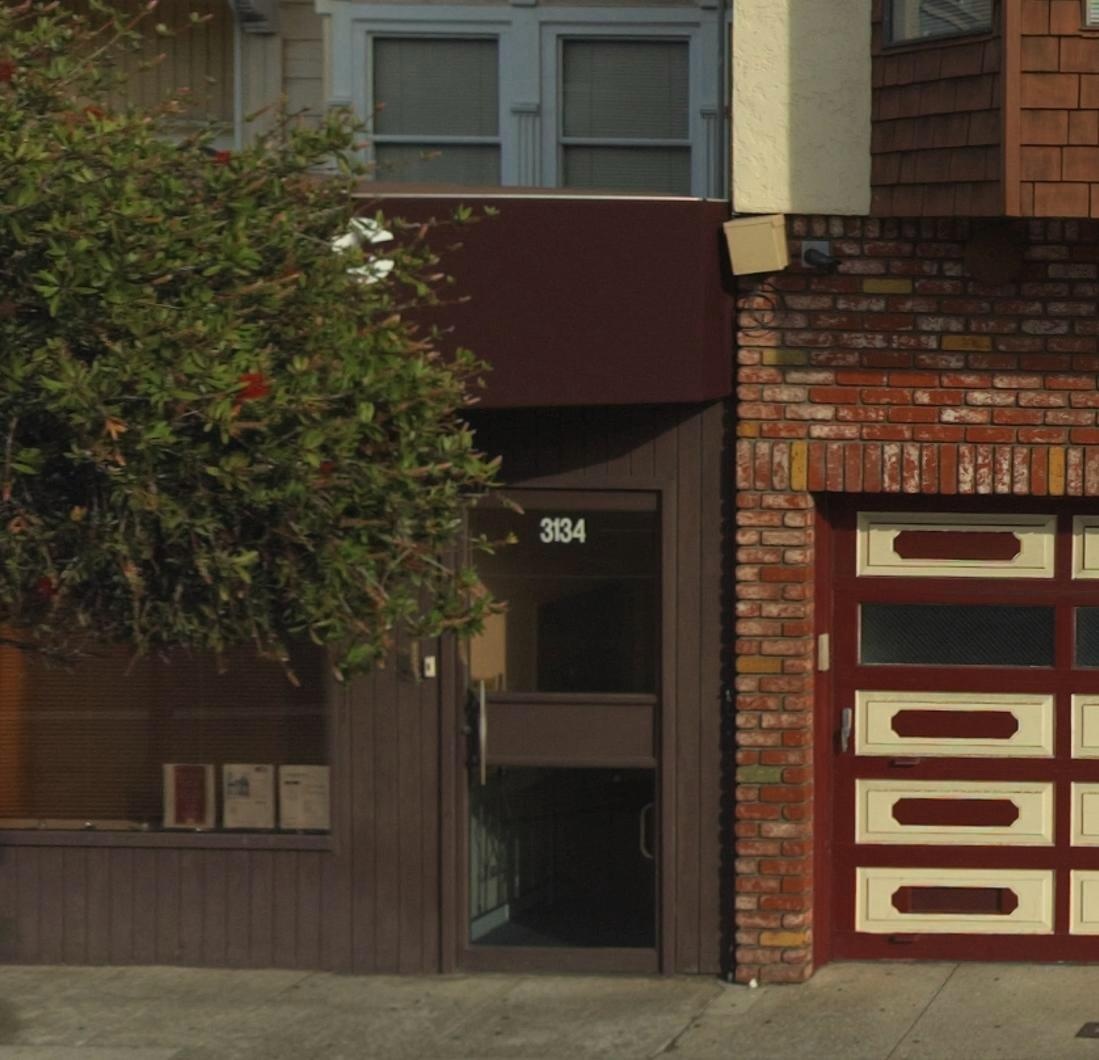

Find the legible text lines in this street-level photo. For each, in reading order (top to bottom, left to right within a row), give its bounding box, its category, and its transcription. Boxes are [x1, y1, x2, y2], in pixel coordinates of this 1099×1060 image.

[537, 514, 589, 546] StreetNumber: 3134